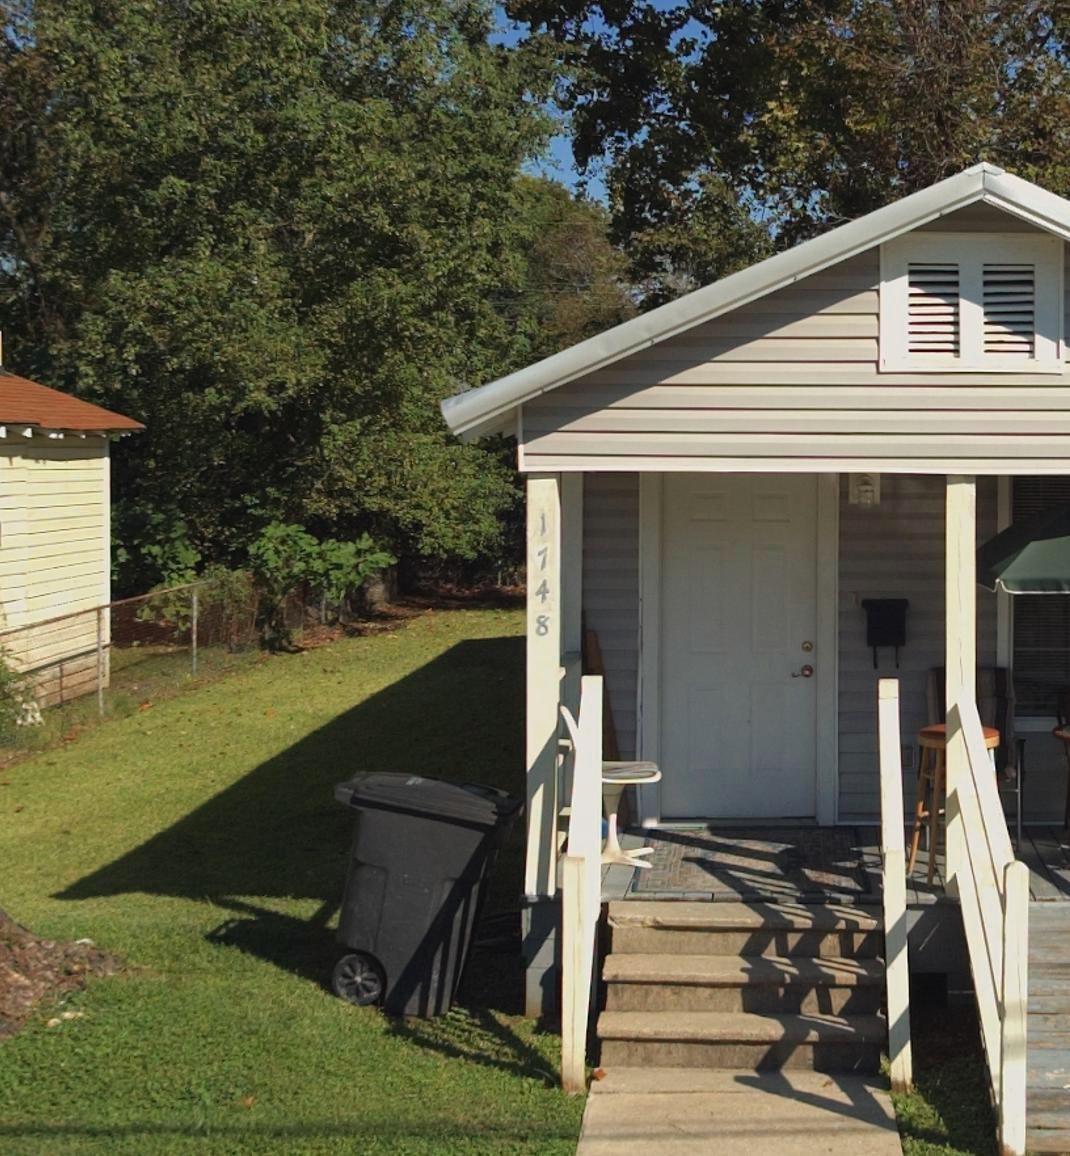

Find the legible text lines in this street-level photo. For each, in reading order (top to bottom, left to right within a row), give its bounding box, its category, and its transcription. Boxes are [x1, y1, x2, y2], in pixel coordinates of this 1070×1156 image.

[534, 510, 551, 638] StreetNumber: 1748